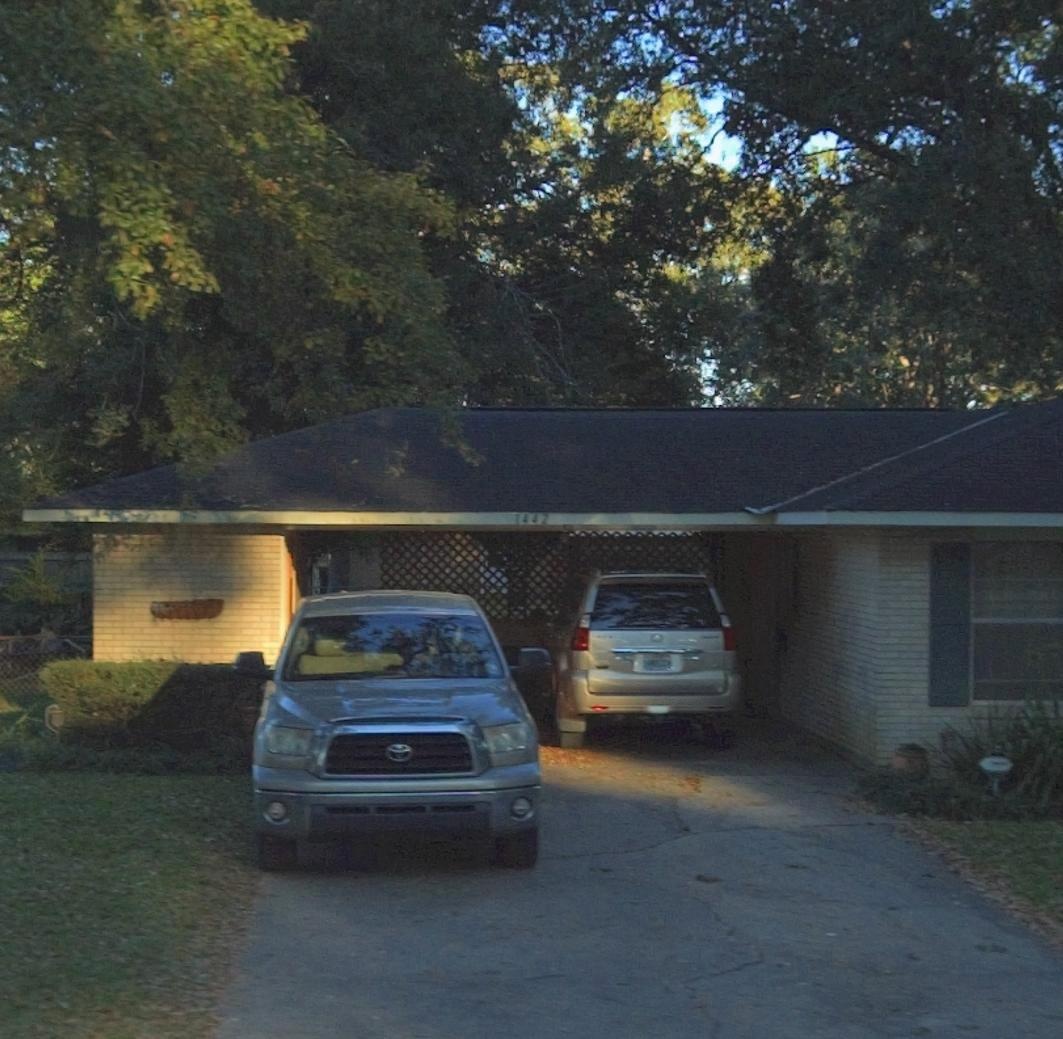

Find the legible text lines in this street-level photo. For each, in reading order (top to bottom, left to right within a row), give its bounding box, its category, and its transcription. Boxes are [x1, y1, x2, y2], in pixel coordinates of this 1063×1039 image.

[515, 512, 550, 526] StreetNumber: 1442